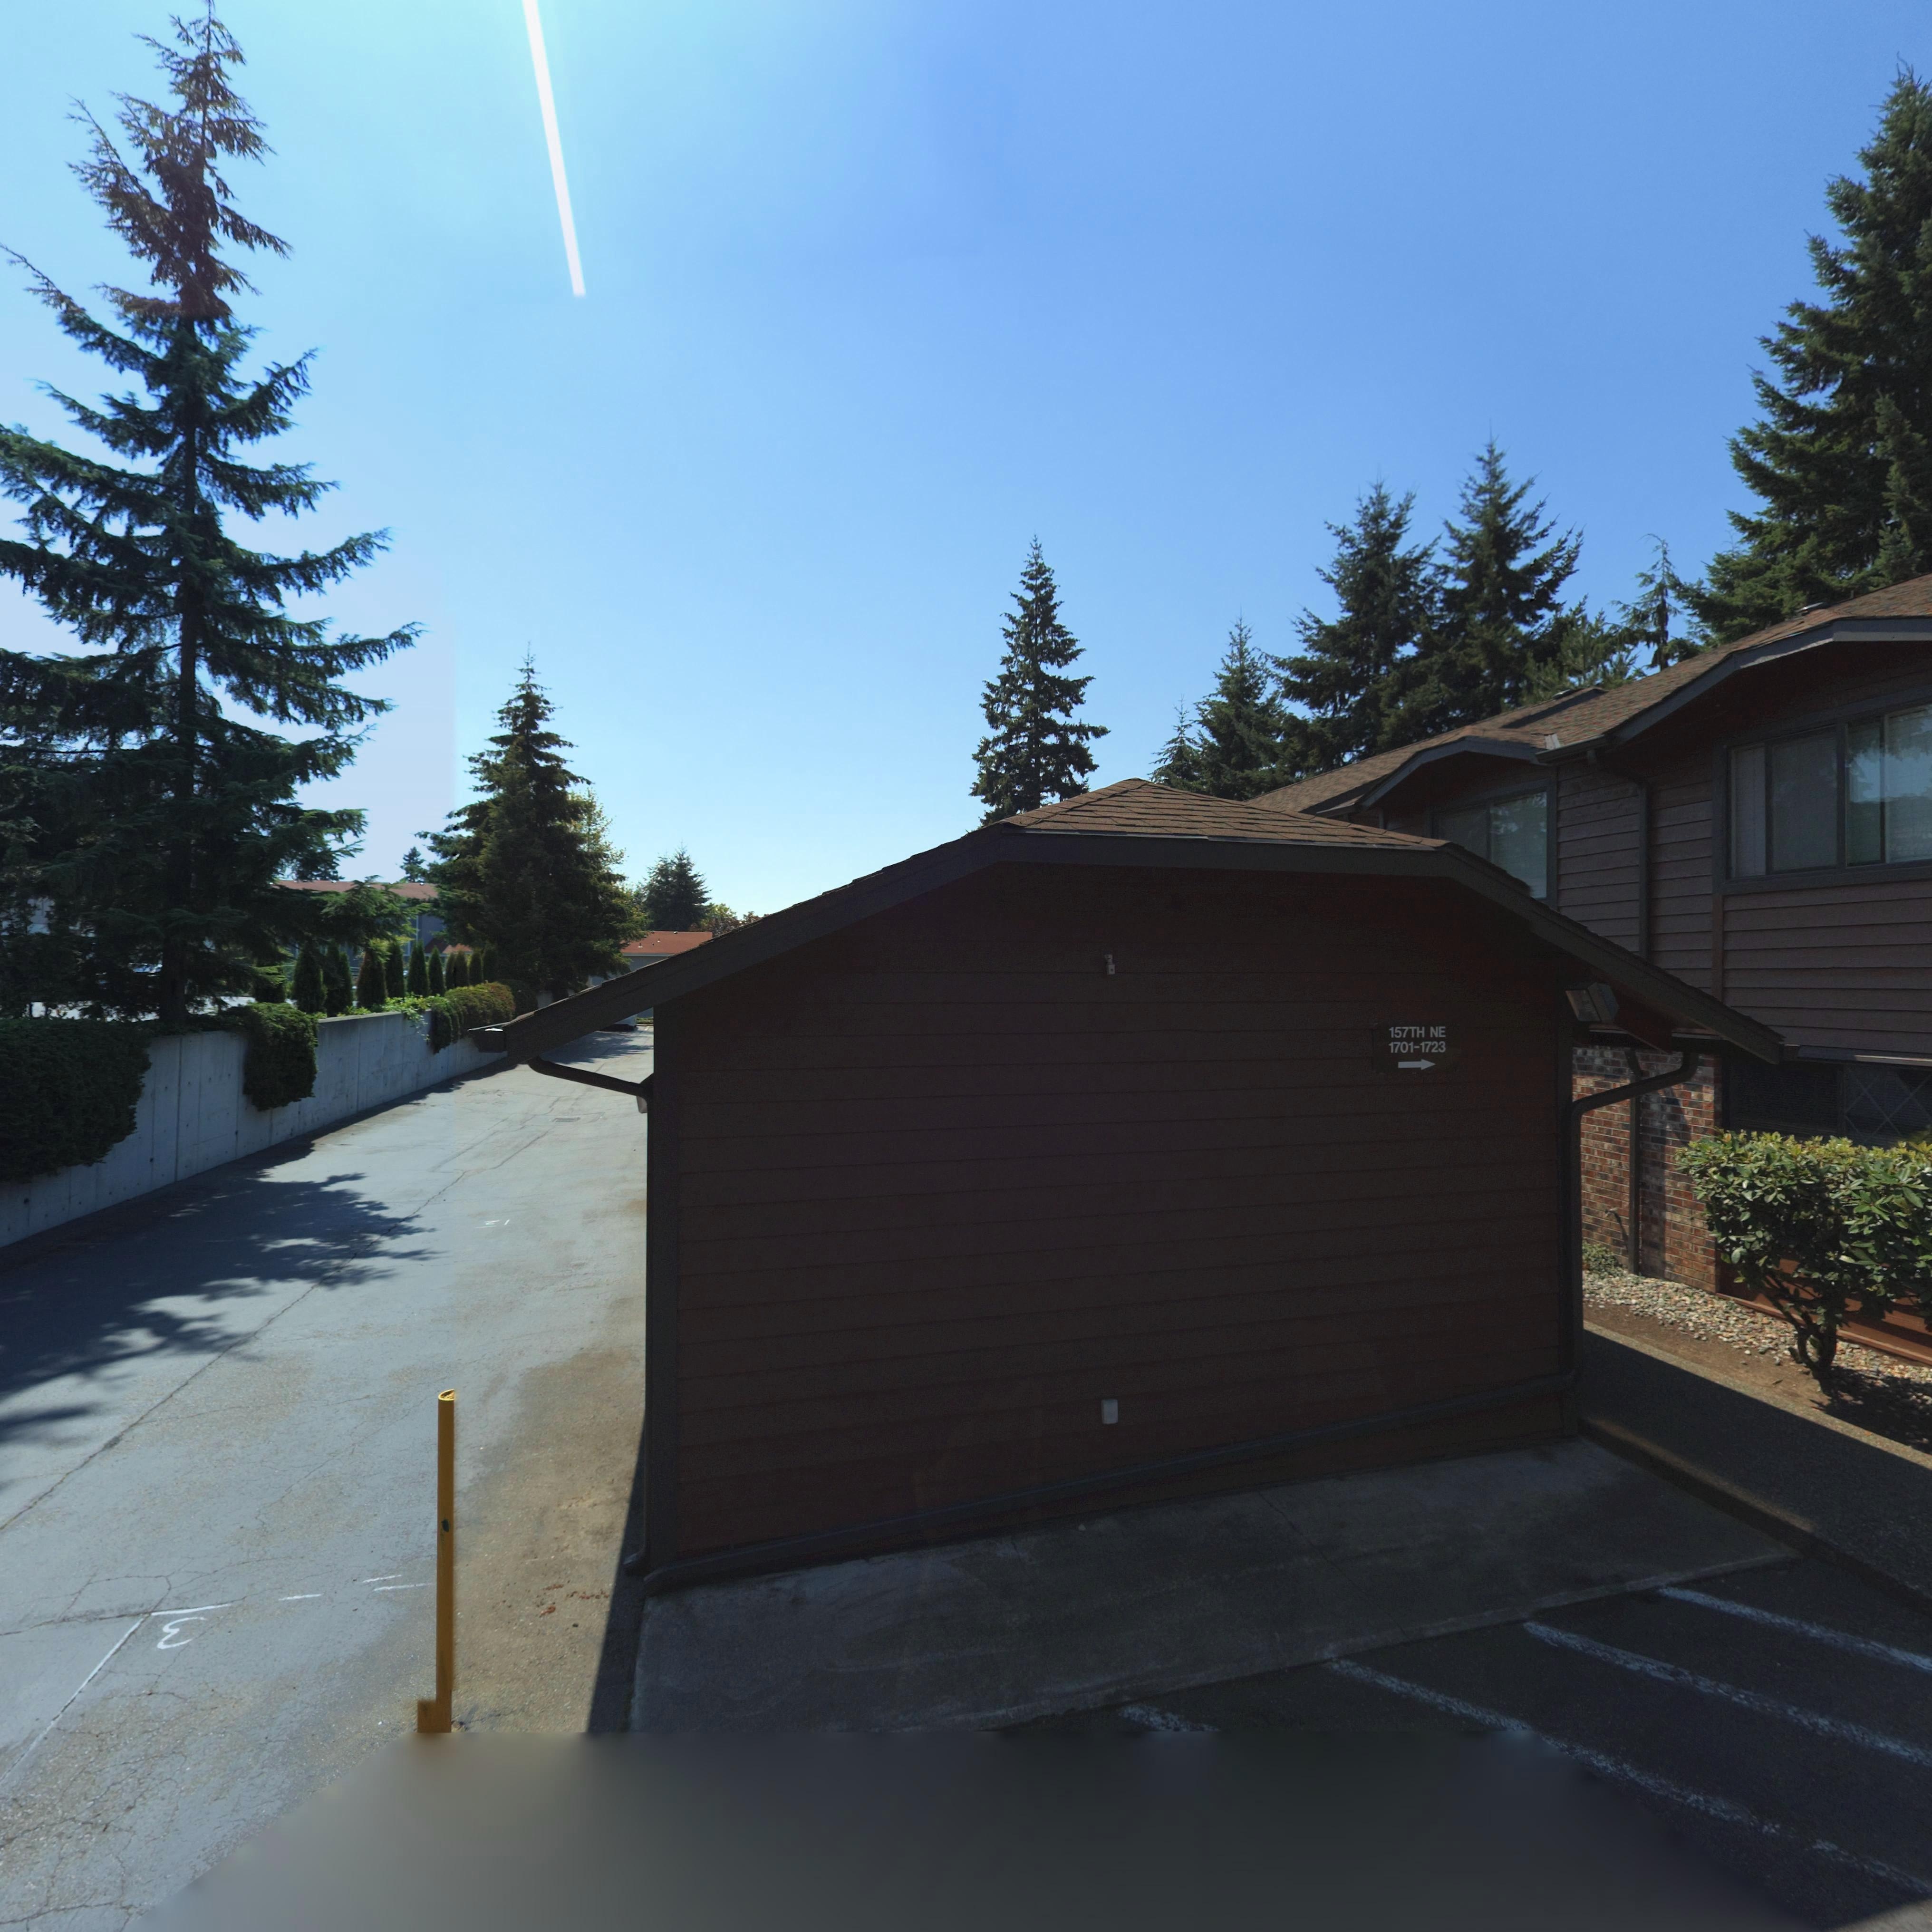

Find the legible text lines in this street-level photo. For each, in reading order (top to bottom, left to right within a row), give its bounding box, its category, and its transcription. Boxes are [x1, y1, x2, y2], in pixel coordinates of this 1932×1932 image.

[1389, 1026, 1446, 1037] StreetName: 157TH NE
[1389, 1042, 1446, 1053] StreetNumberRange: 1701-1723